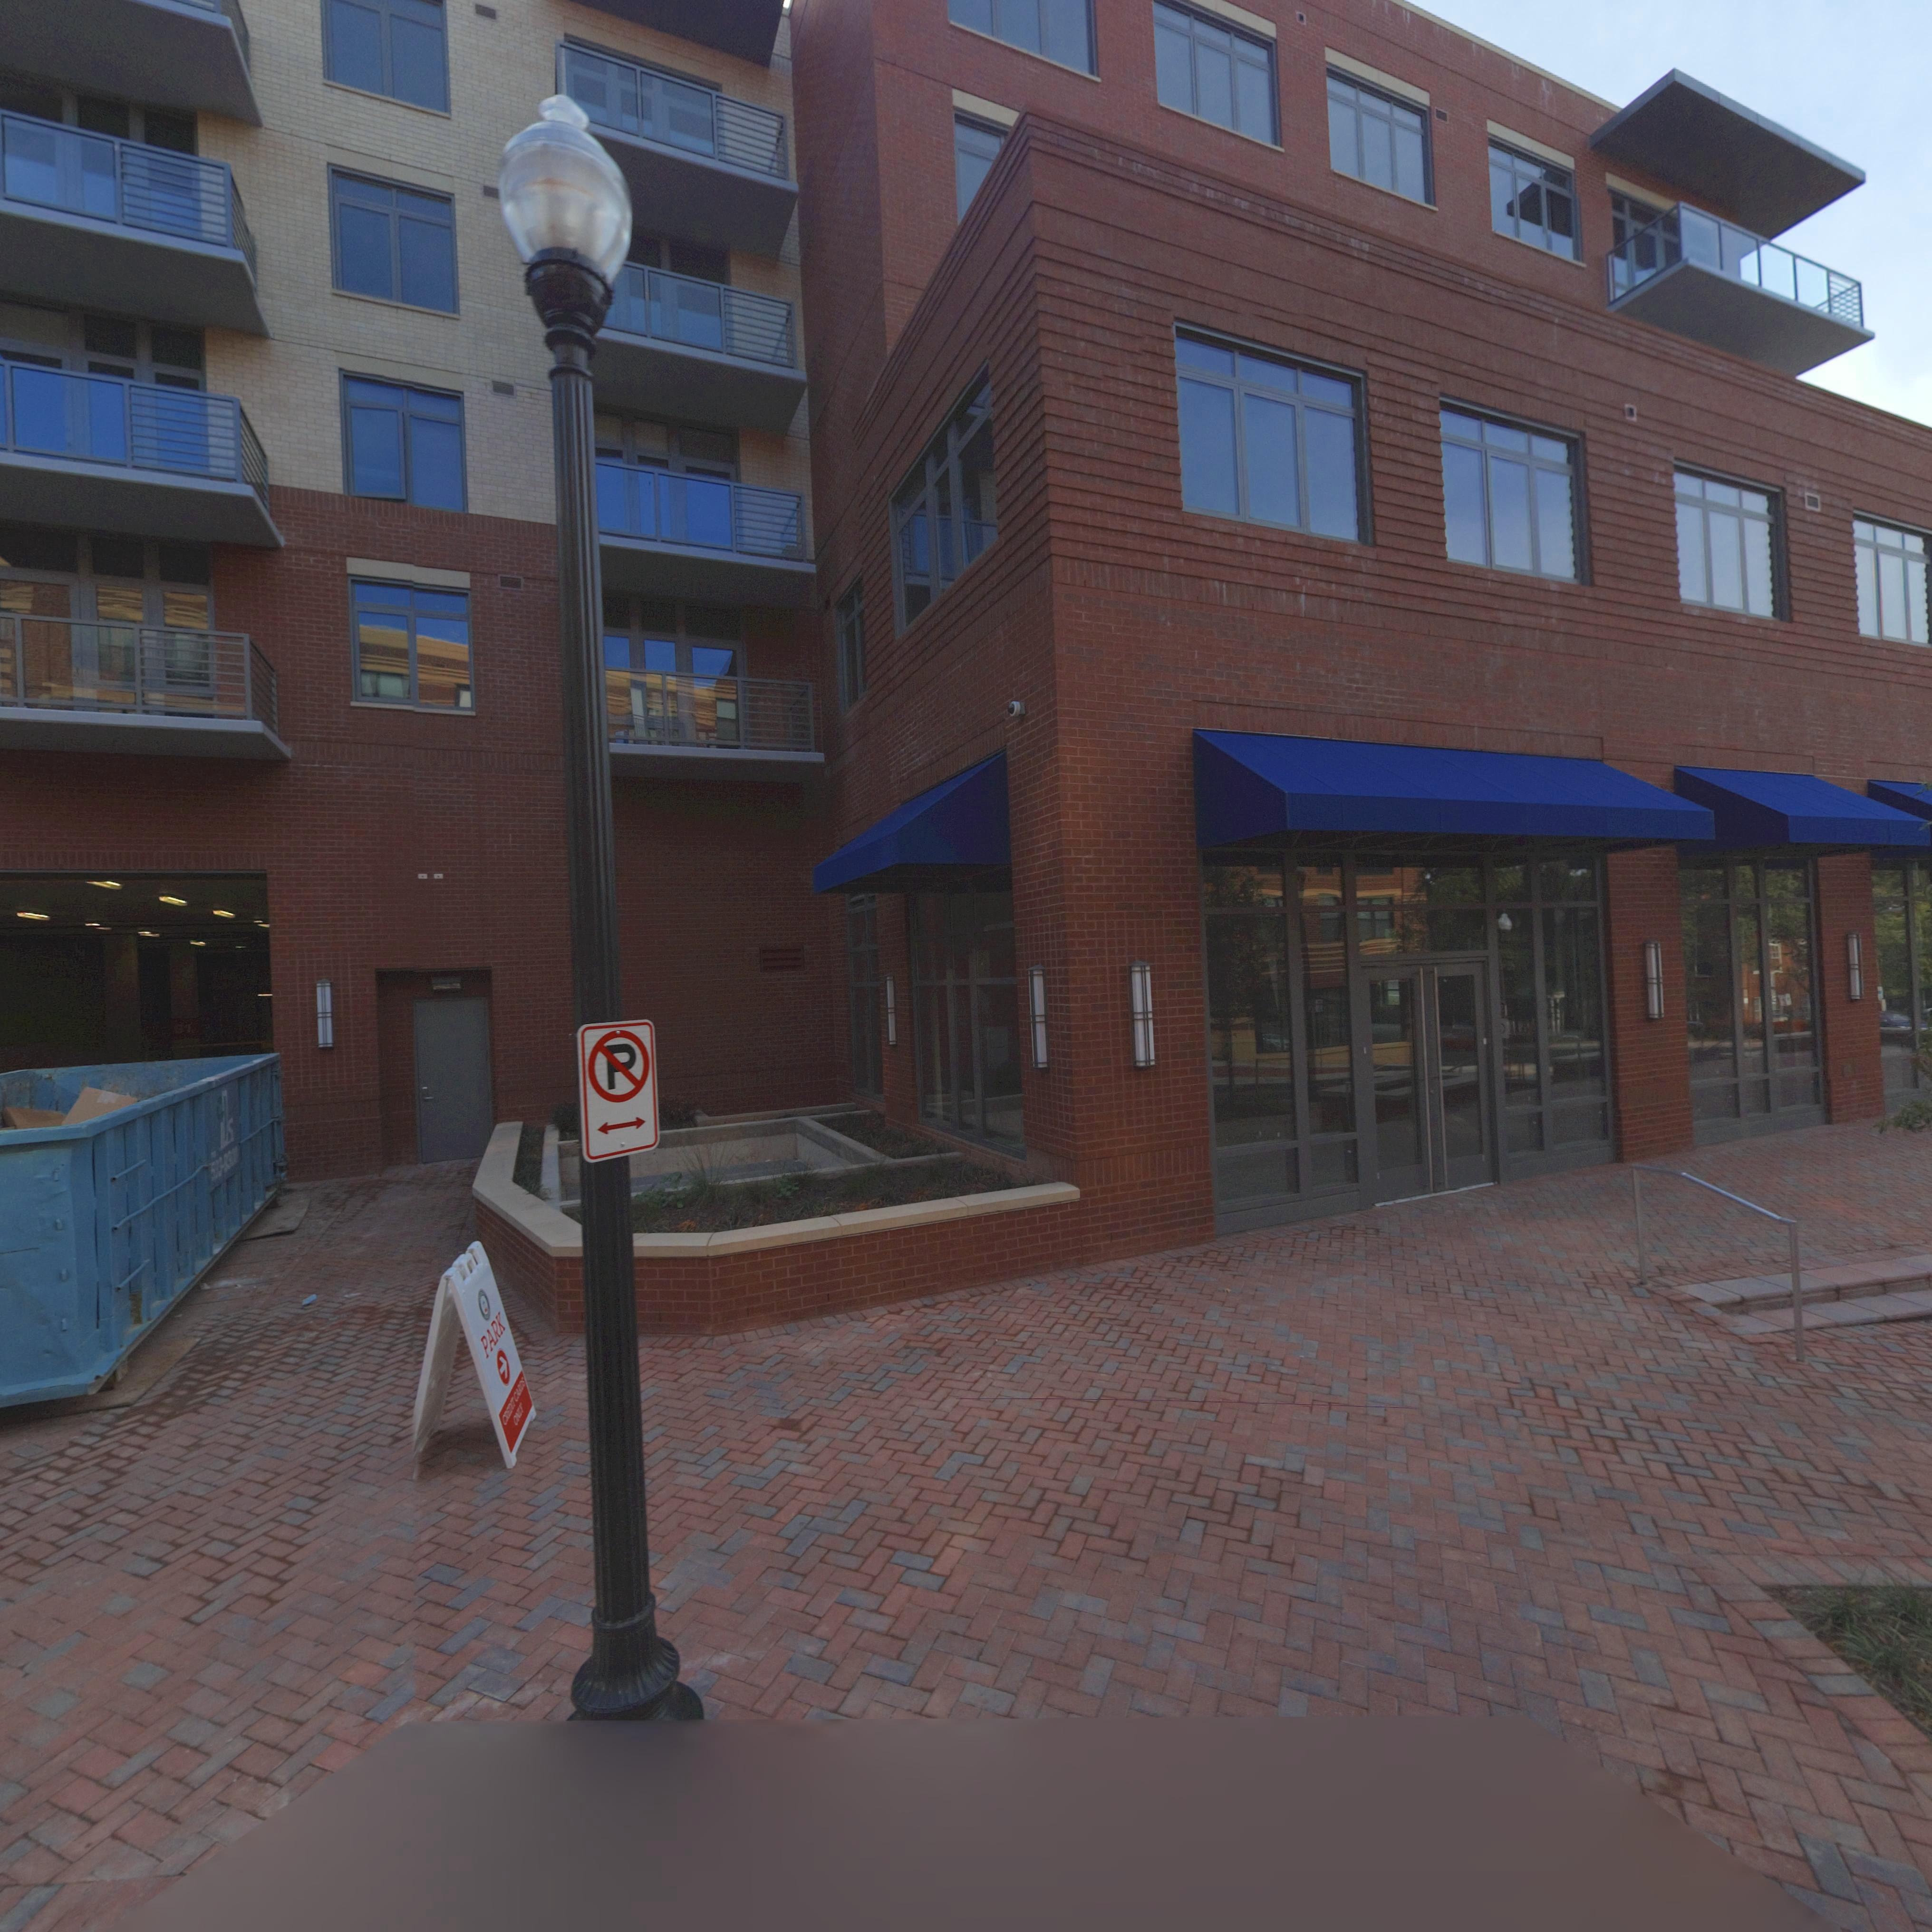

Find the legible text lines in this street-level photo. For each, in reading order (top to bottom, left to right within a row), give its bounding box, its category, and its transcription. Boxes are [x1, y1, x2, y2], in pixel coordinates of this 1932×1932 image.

[479, 1309, 507, 1361] None: PARK
[501, 1373, 526, 1426] None: CREDIT CARDS
[512, 1400, 525, 1427] None: ONLY